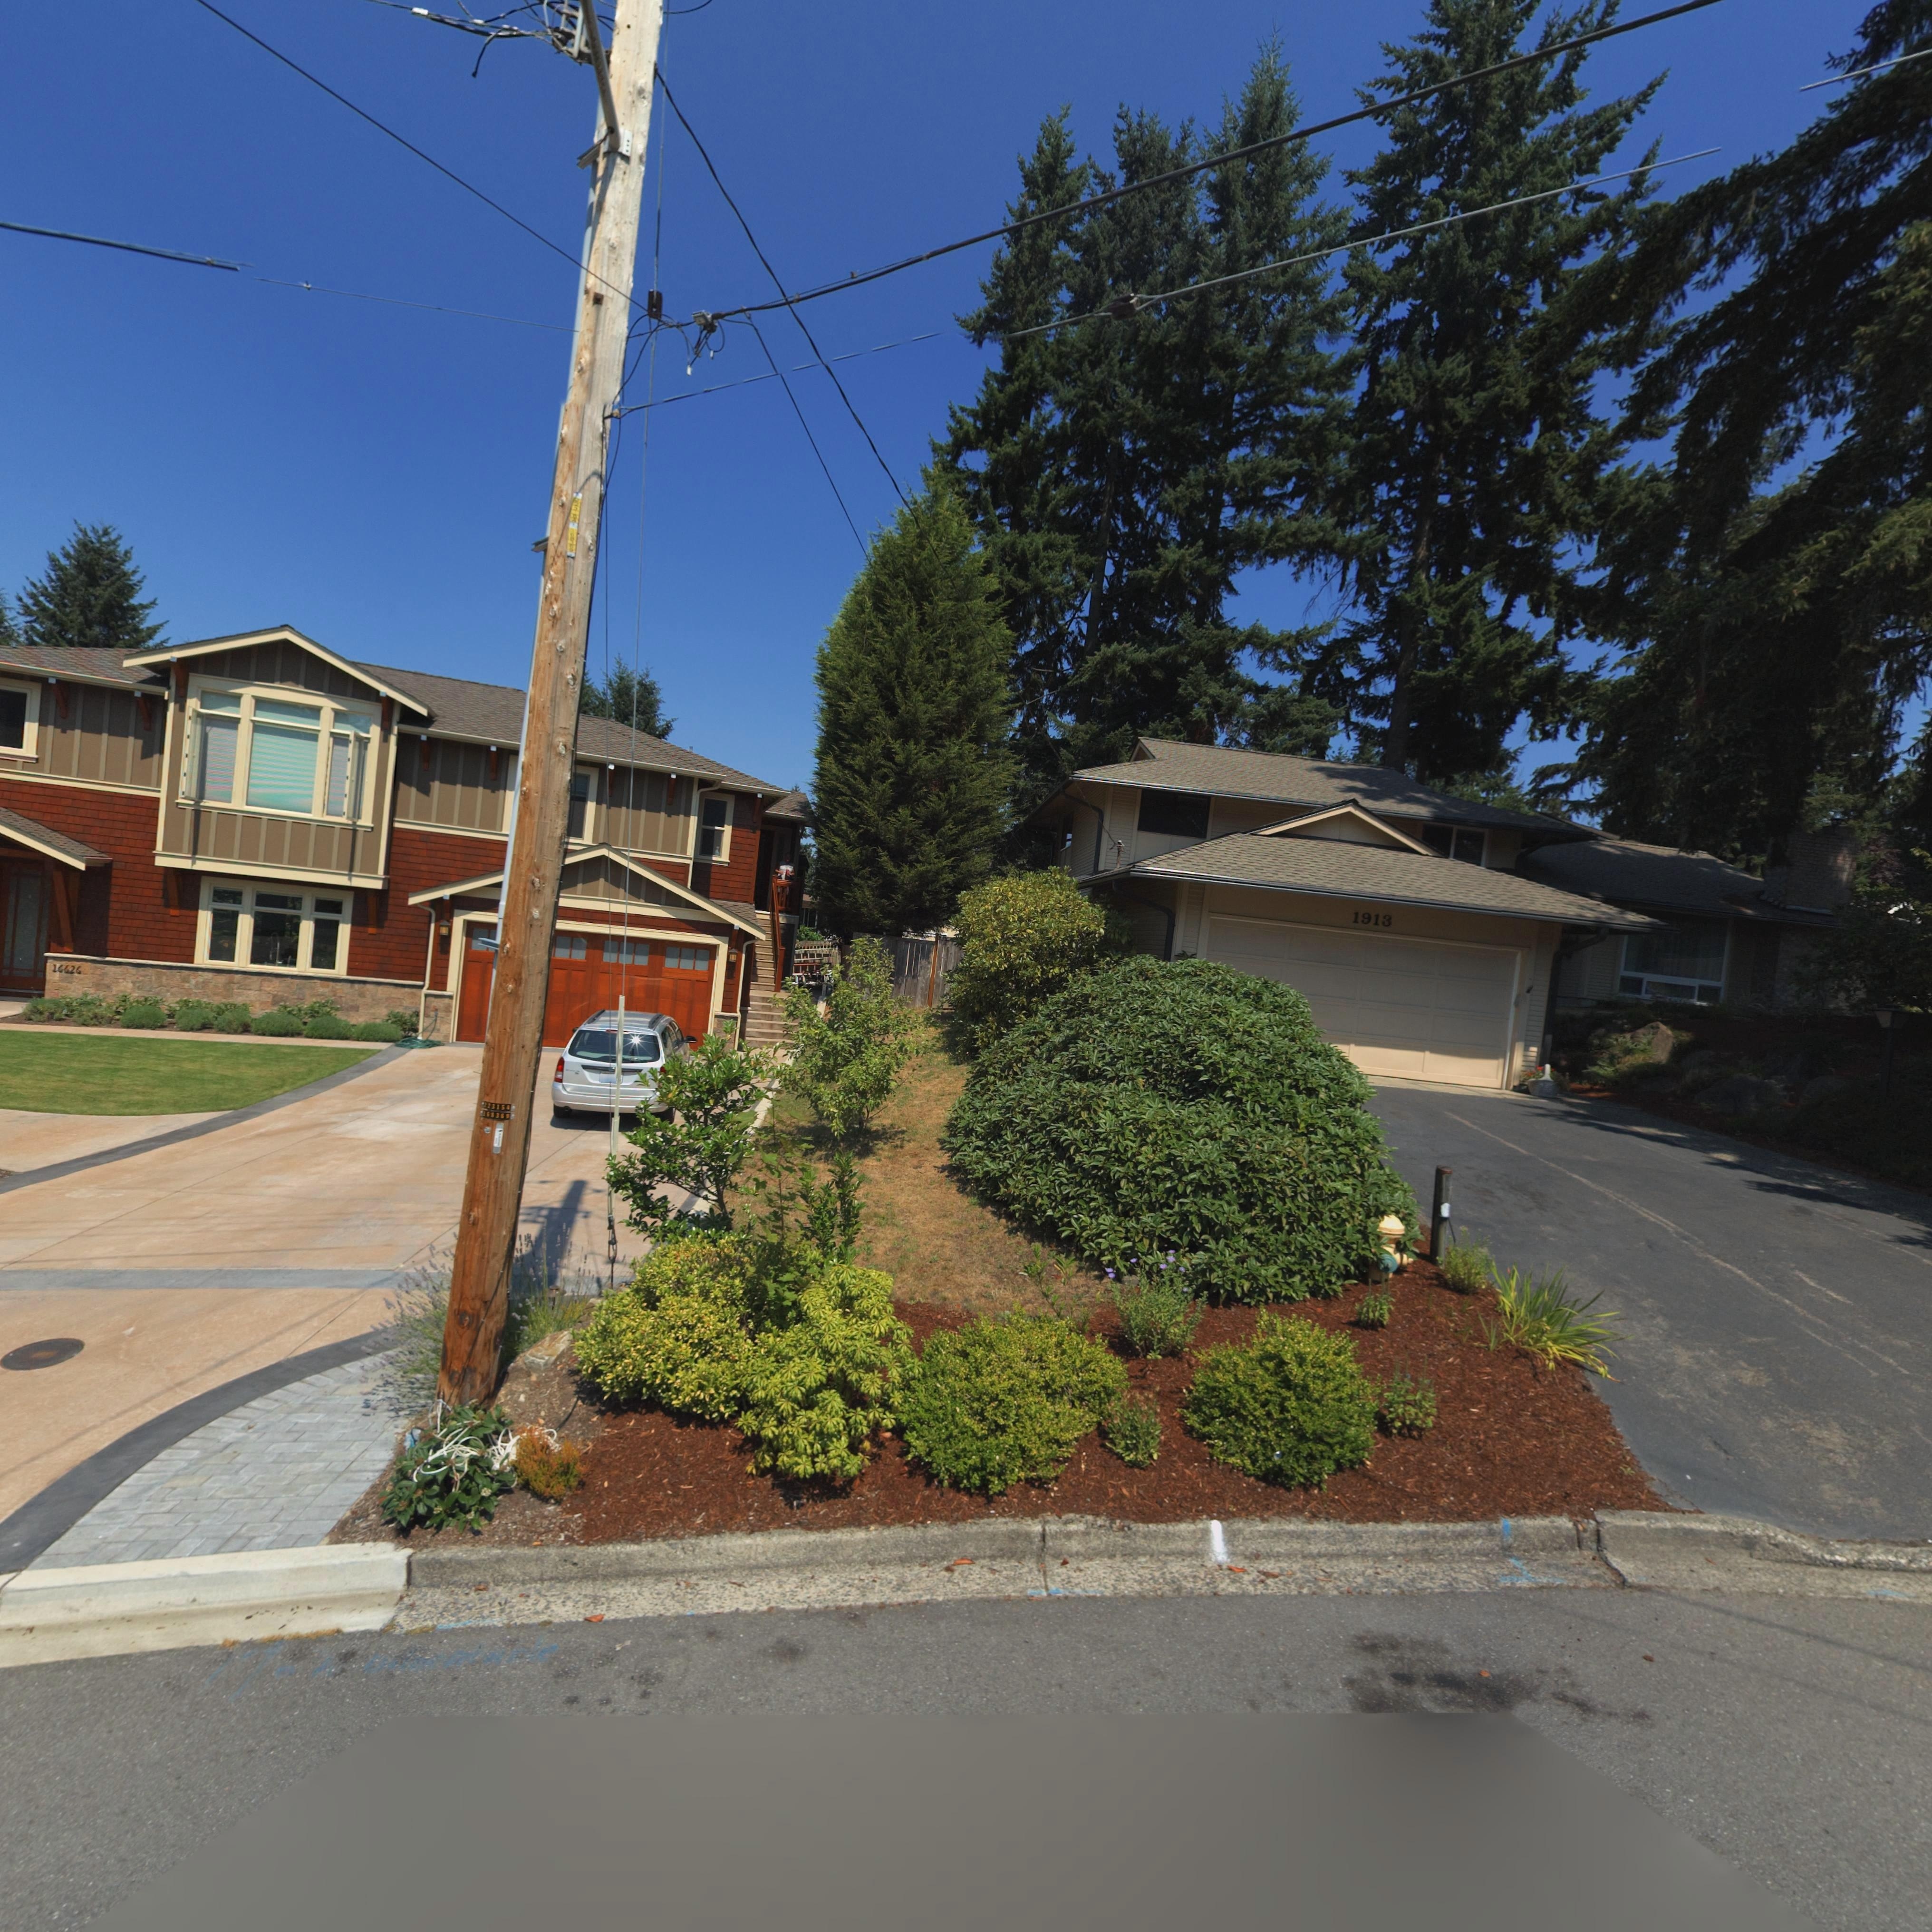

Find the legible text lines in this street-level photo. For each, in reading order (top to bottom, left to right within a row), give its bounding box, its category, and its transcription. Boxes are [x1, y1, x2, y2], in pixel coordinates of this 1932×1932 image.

[1351, 910, 1392, 928] StreetNumber: 1913
[51, 963, 82, 975] StreetNumber: 16626